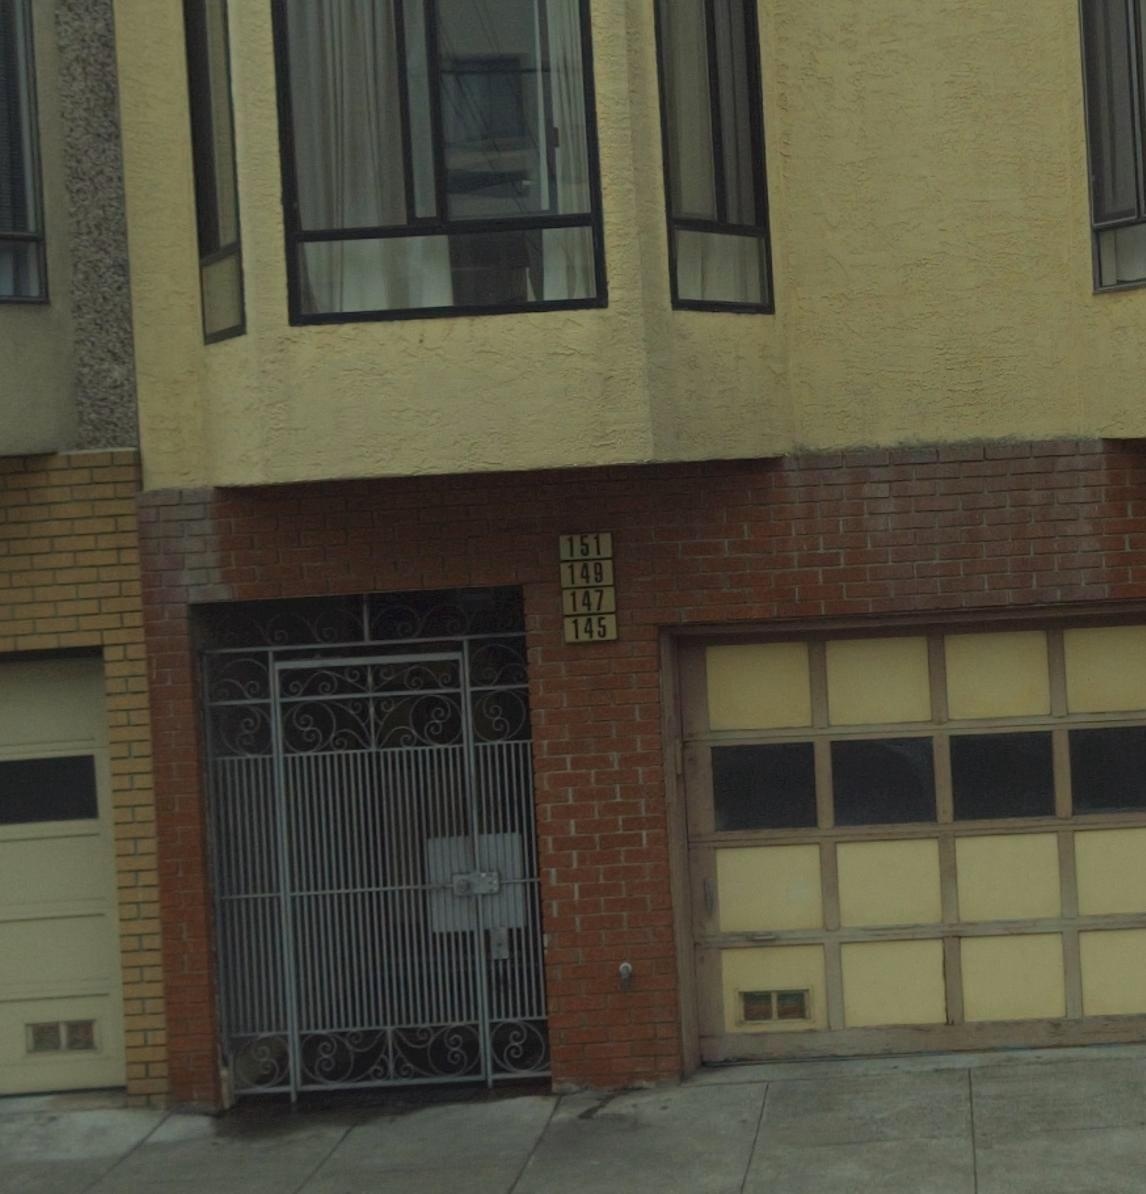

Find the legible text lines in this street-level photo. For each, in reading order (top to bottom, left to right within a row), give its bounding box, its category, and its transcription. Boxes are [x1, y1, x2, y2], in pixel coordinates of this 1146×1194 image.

[566, 533, 602, 558] StreetNumber: 151
[566, 562, 605, 585] StreetNumber: 149
[568, 588, 605, 612] StreetNumber: 147
[571, 616, 608, 641] StreetNumber: 145